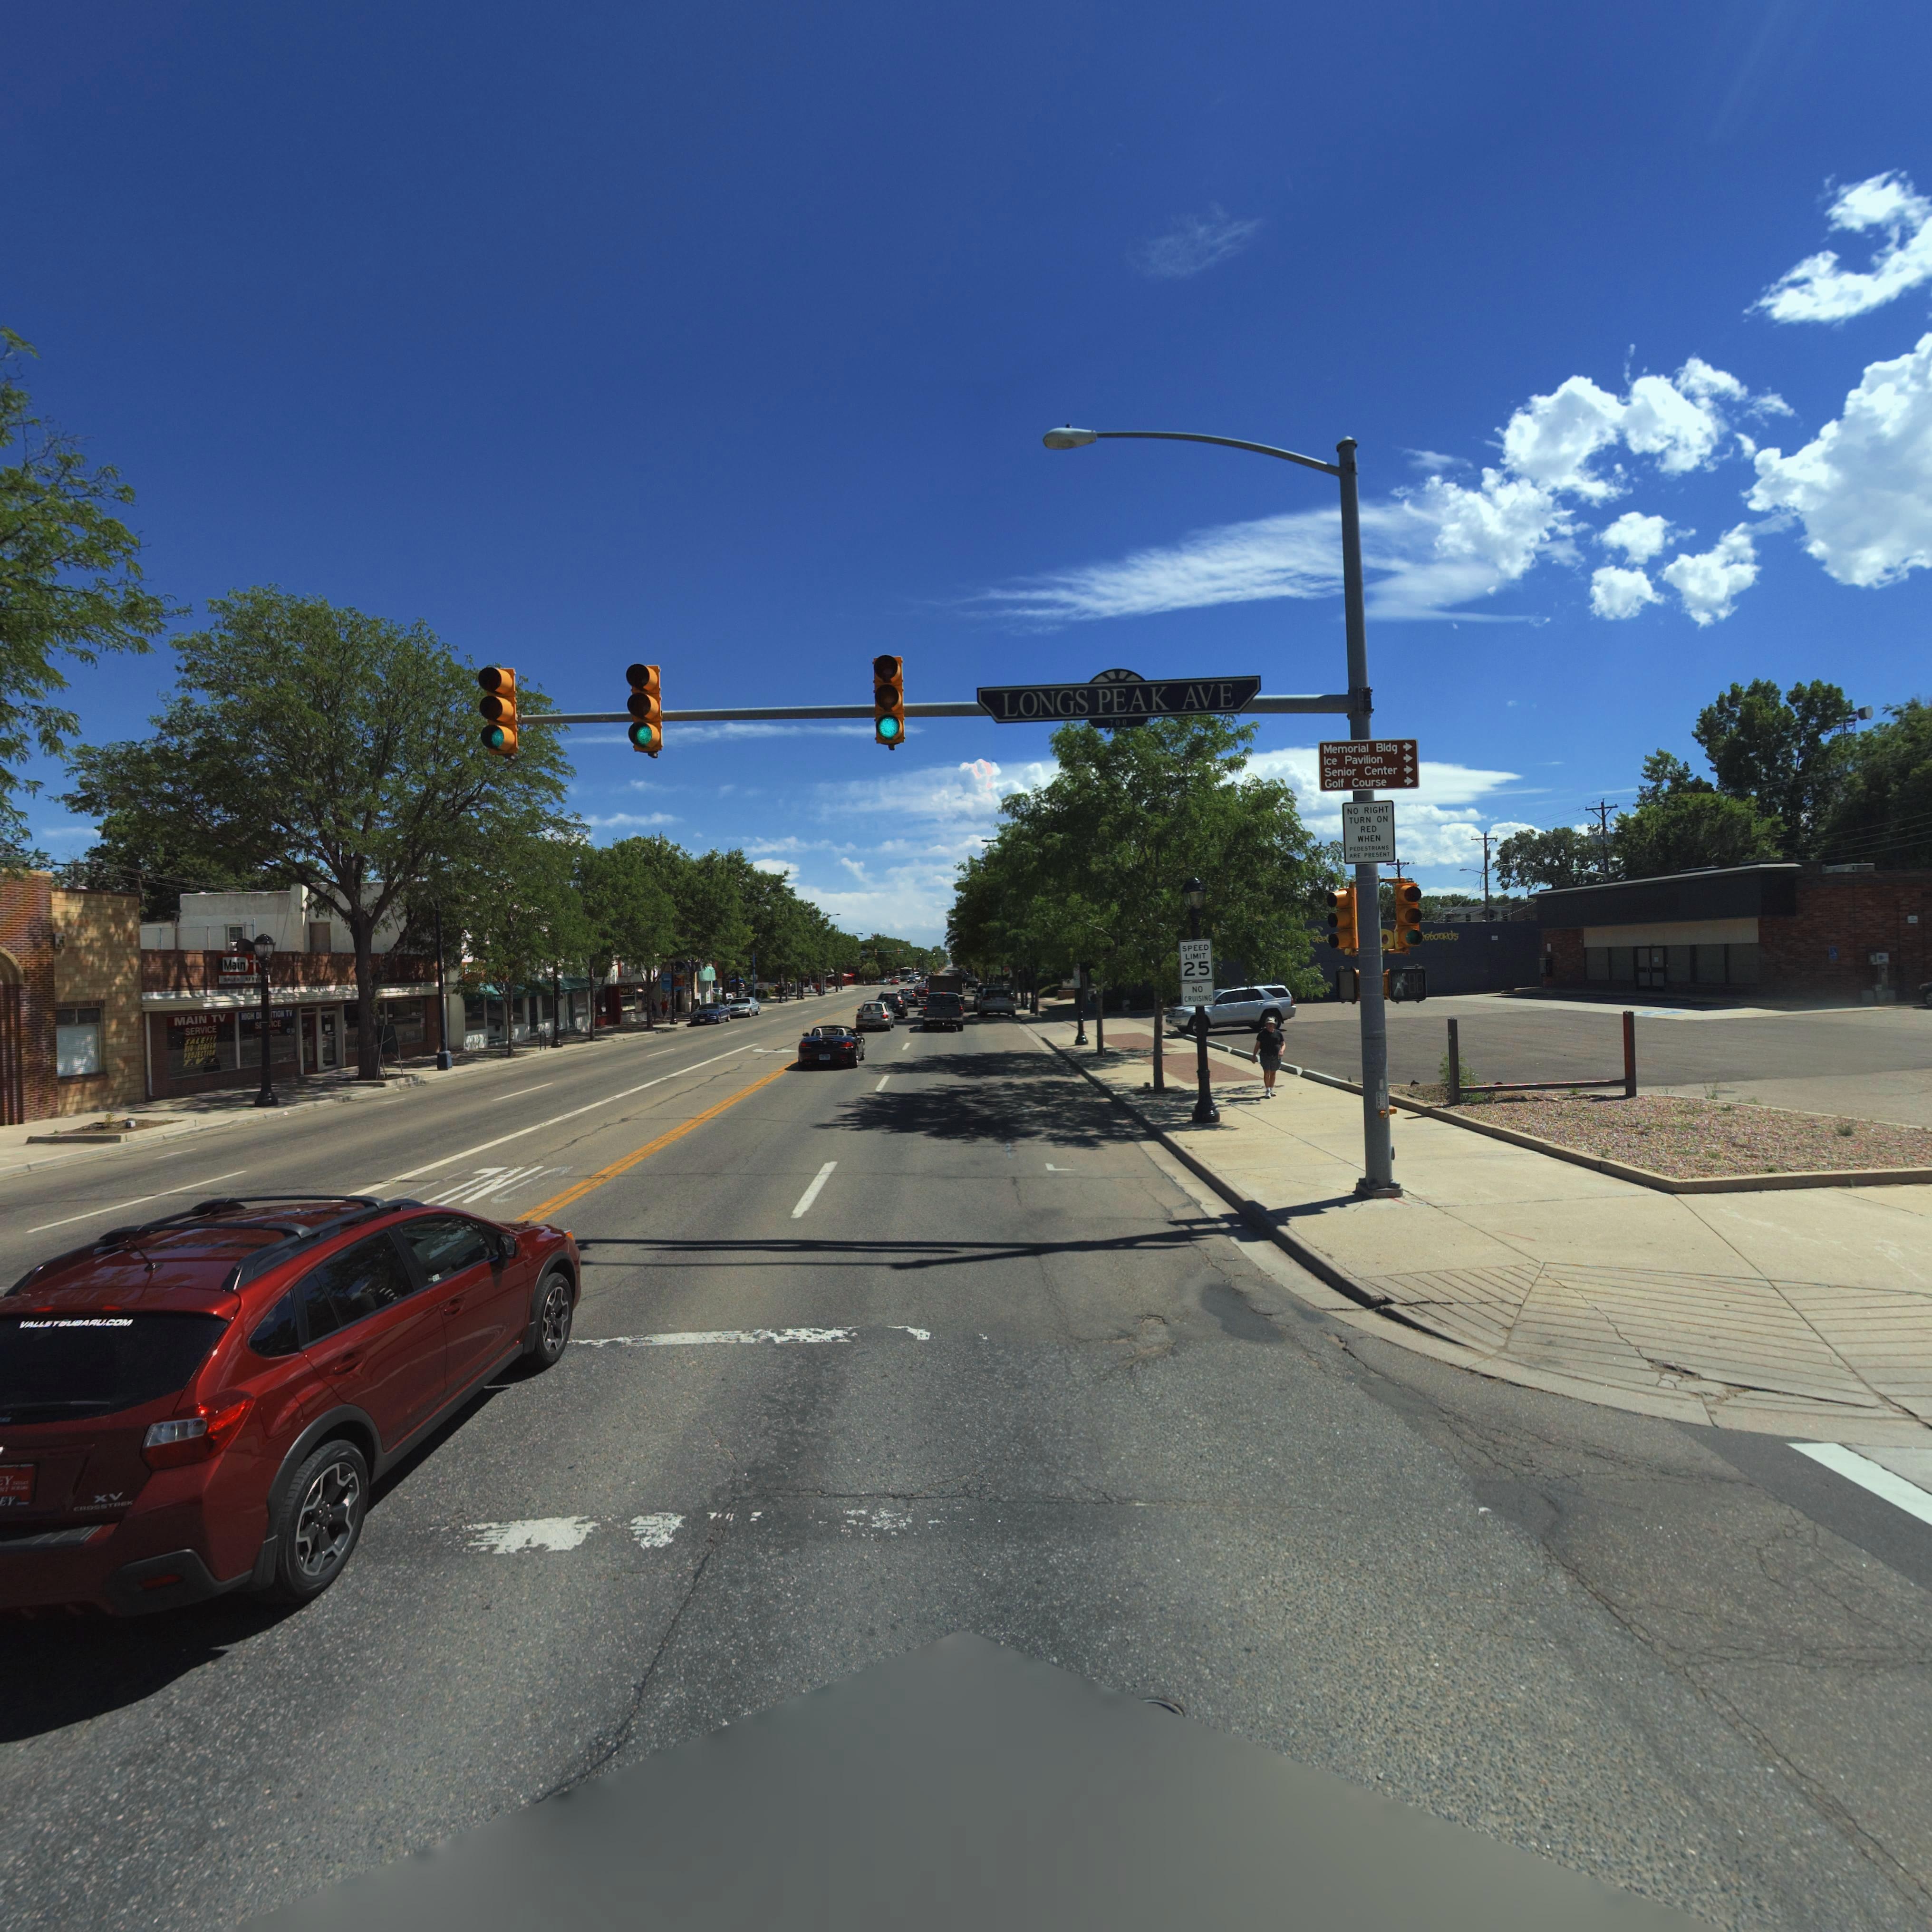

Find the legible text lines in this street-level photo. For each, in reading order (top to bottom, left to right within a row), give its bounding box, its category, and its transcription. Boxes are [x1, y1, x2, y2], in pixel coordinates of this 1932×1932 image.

[1002, 683, 1234, 716] StreetName: LONGS PEAK AVE
[1109, 718, 1127, 726] StreetNumberRange: 700
[223, 957, 246, 971] BusinessName: Main
[250, 954, 260, 976] BusinessName: t
[174, 1013, 226, 1026] BusinessName: MAIN TV
[185, 1025, 217, 1035] BusinessName: SERVICE